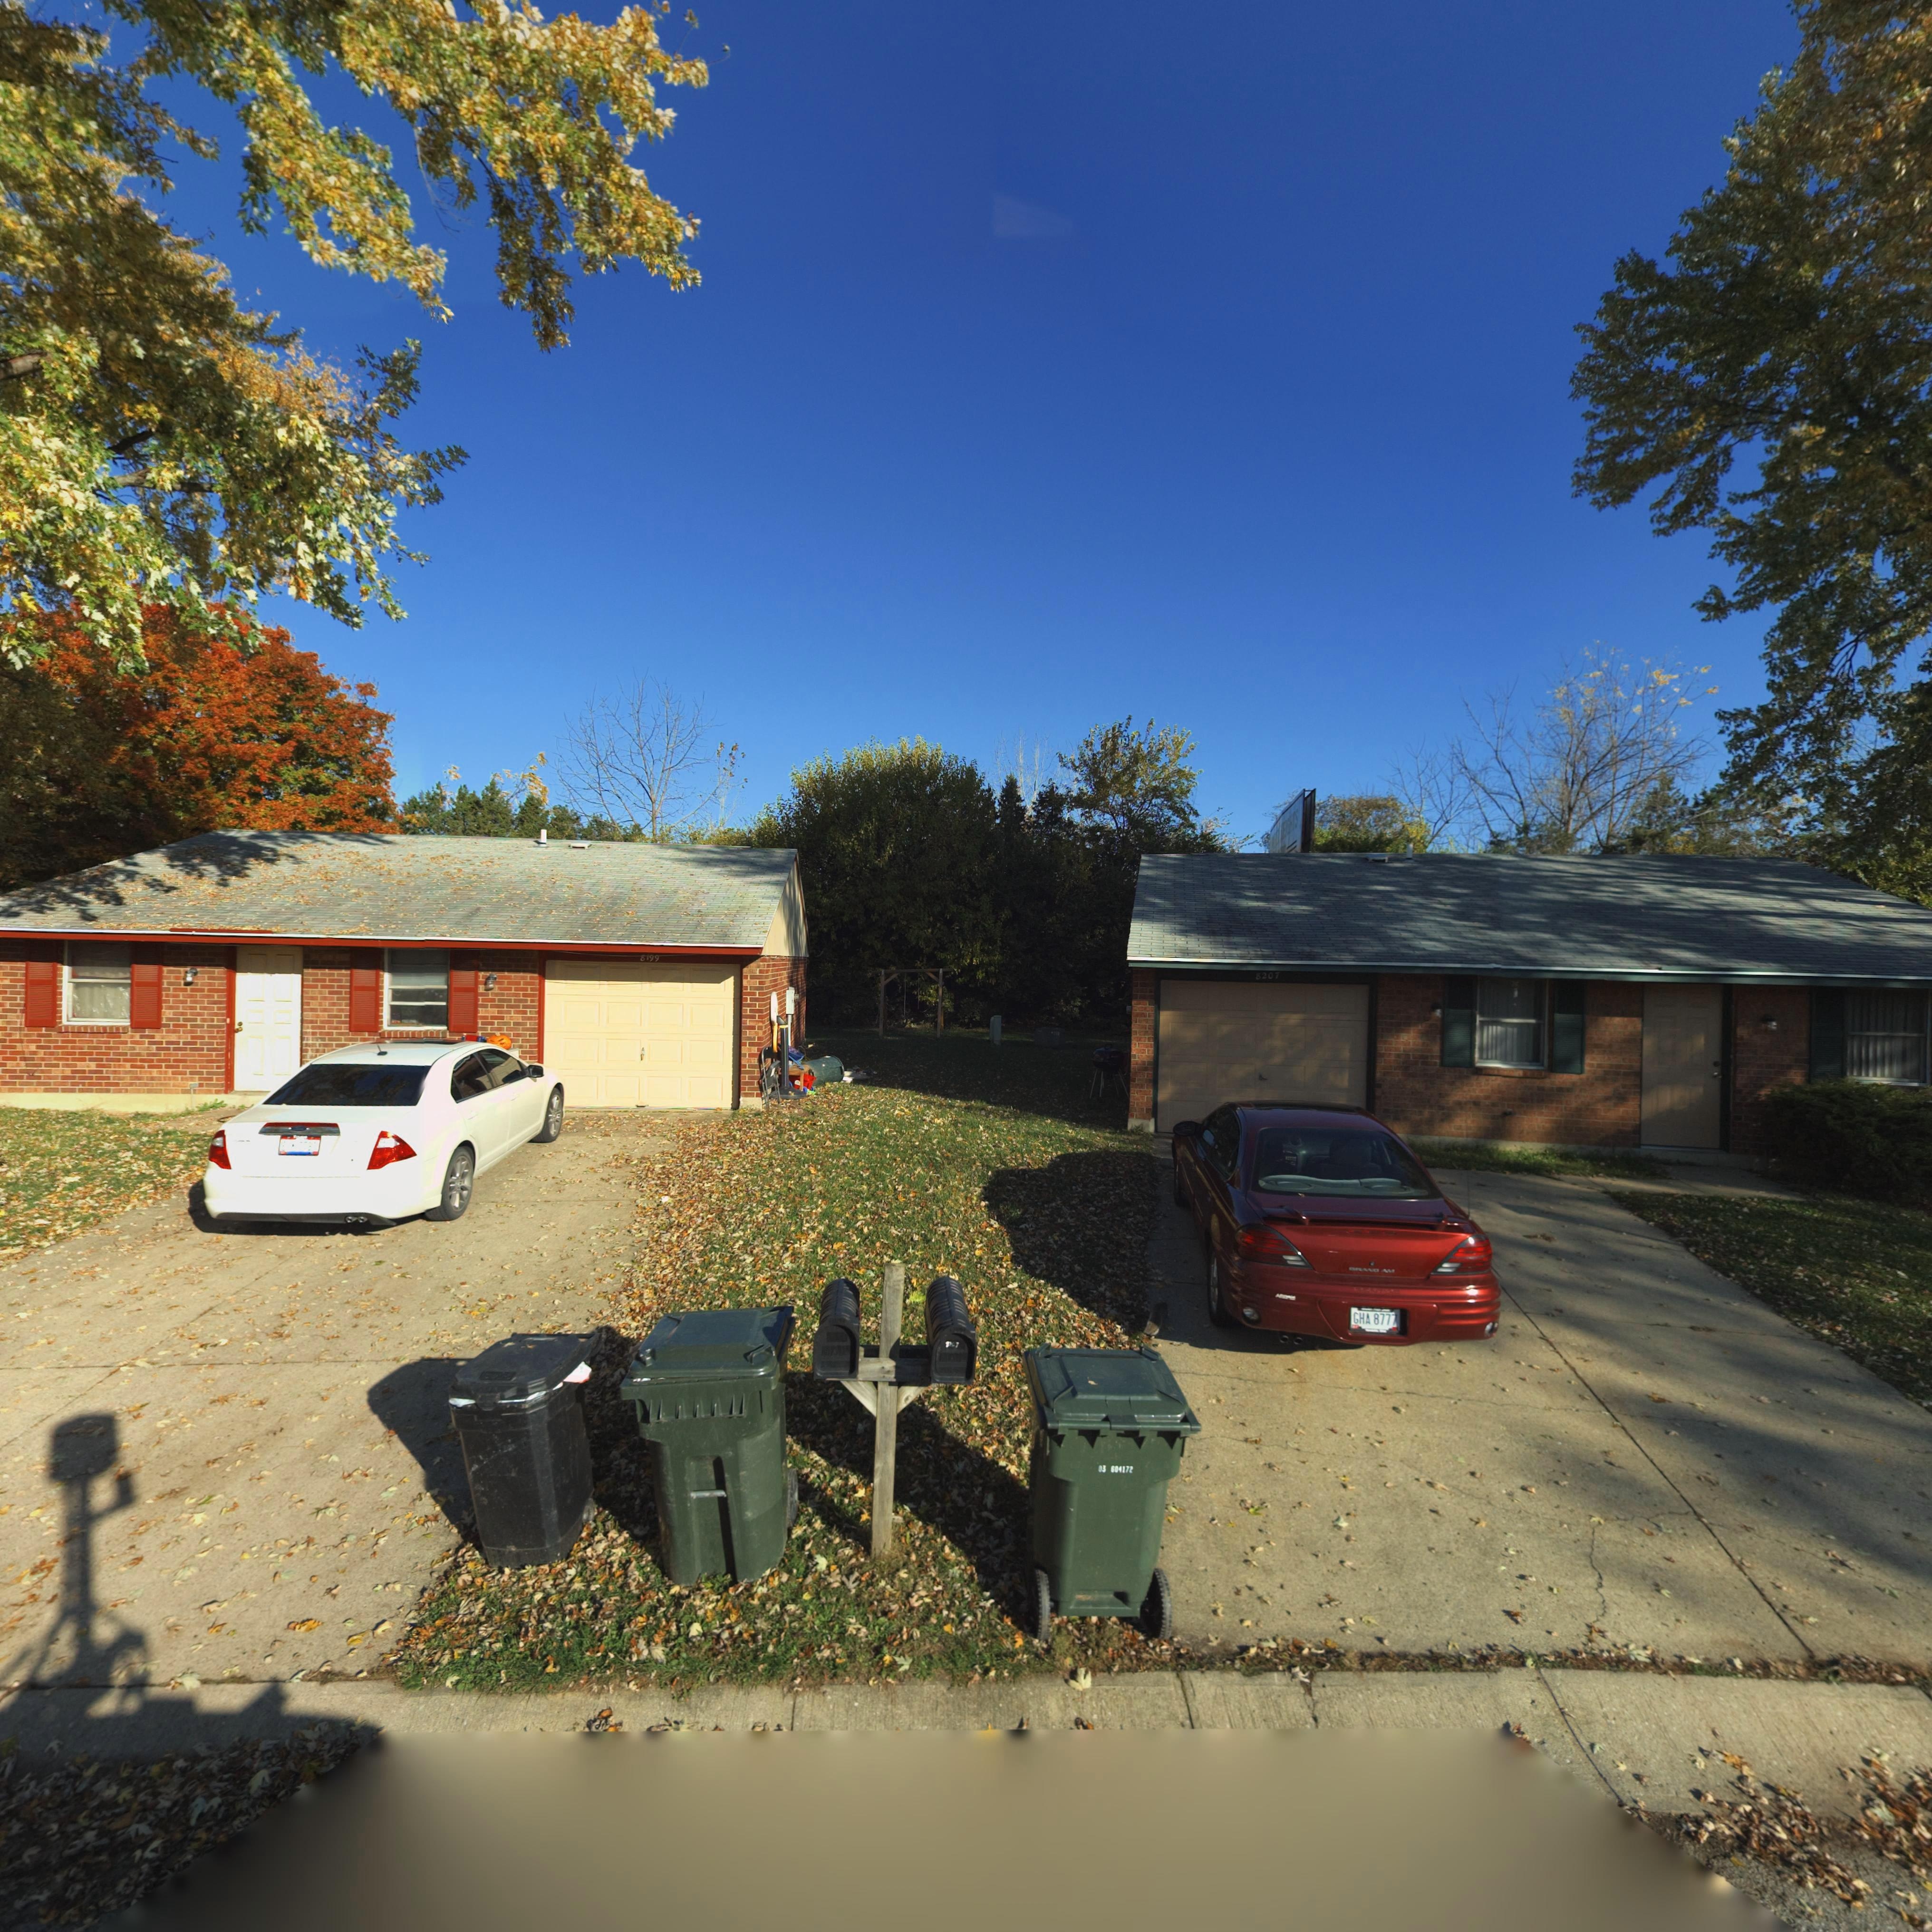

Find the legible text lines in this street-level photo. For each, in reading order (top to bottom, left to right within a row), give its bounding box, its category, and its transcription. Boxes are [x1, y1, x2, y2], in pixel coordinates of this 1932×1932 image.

[639, 954, 660, 962] StreetNumber: 8199
[1255, 971, 1280, 980] StreetNumber: 8207
[955, 1341, 960, 1349] StreetNumber: 7